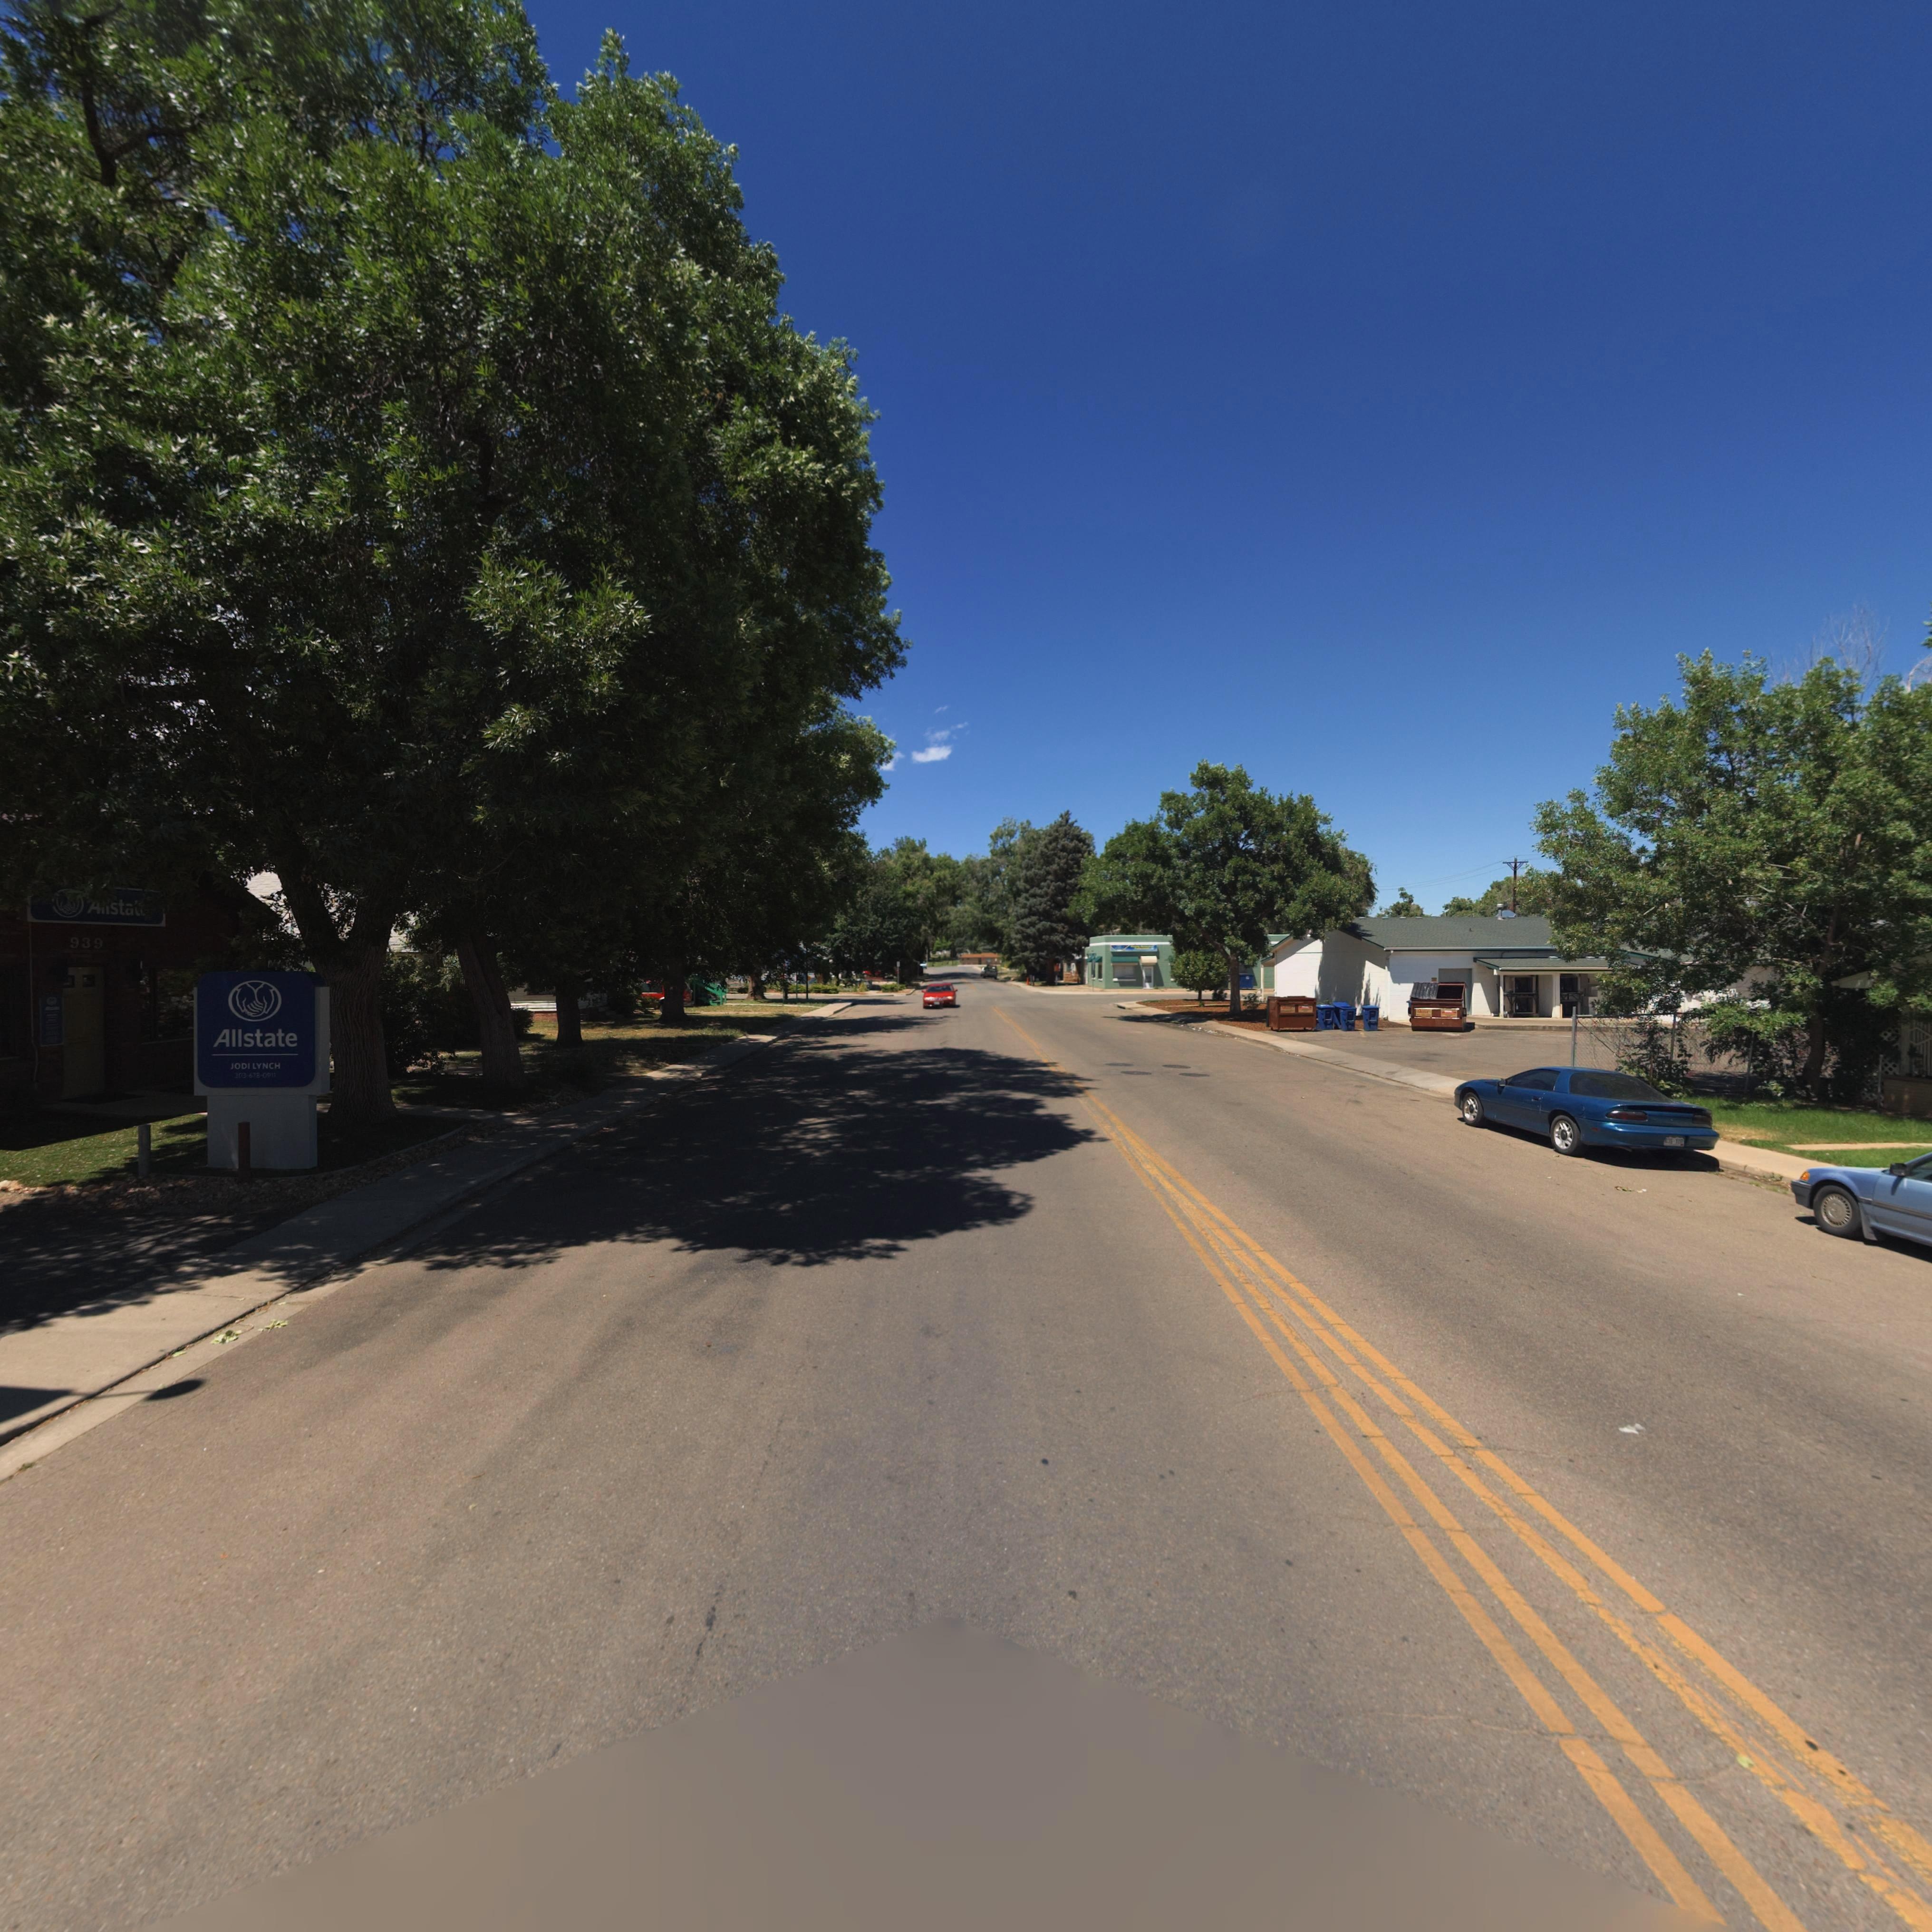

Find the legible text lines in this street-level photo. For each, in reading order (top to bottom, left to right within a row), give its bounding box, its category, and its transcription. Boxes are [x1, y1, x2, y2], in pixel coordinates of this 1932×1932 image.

[87, 898, 141, 916] BusinessName: ***sta*
[69, 936, 103, 949] StreetNumber: 939
[44, 1005, 60, 1010] BusinessName: Allstate
[212, 1028, 298, 1047] BusinessName: Allstate
[230, 1062, 280, 1069] BusinessName: JODI LYNCH